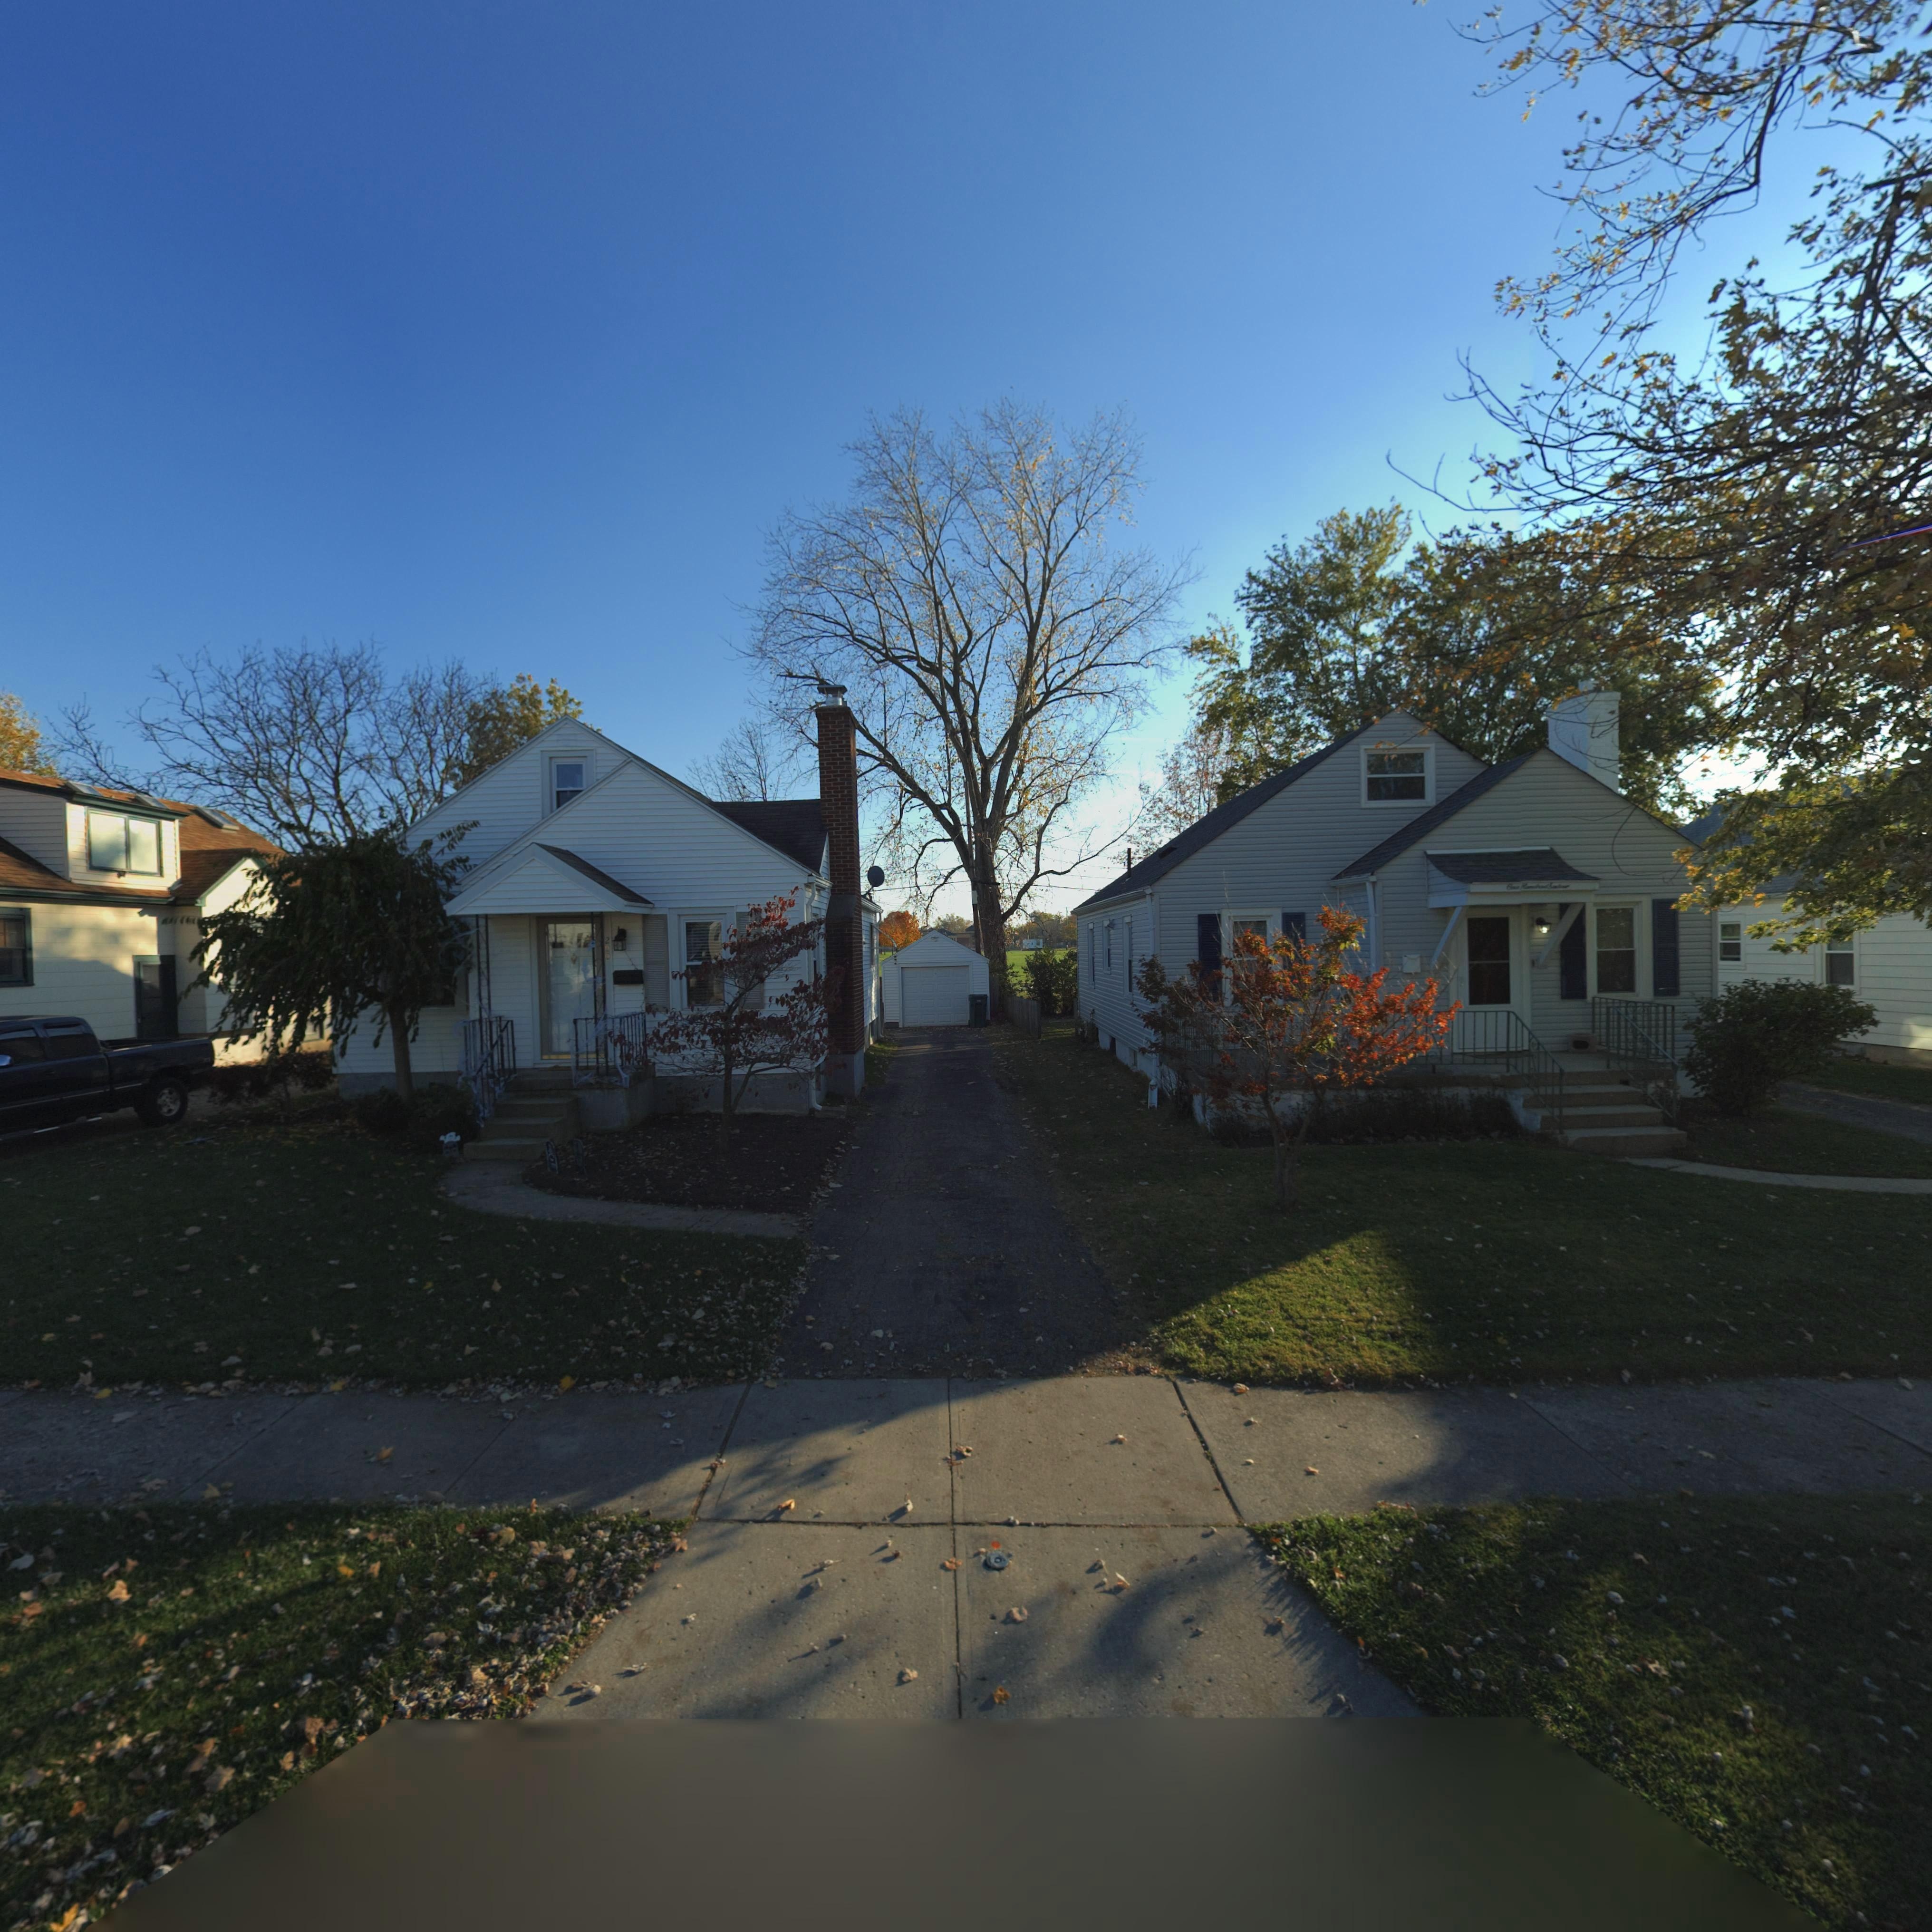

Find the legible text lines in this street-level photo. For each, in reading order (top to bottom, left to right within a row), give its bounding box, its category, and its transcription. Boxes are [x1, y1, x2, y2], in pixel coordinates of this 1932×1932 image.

[603, 936, 612, 945] StreetNumber: 2